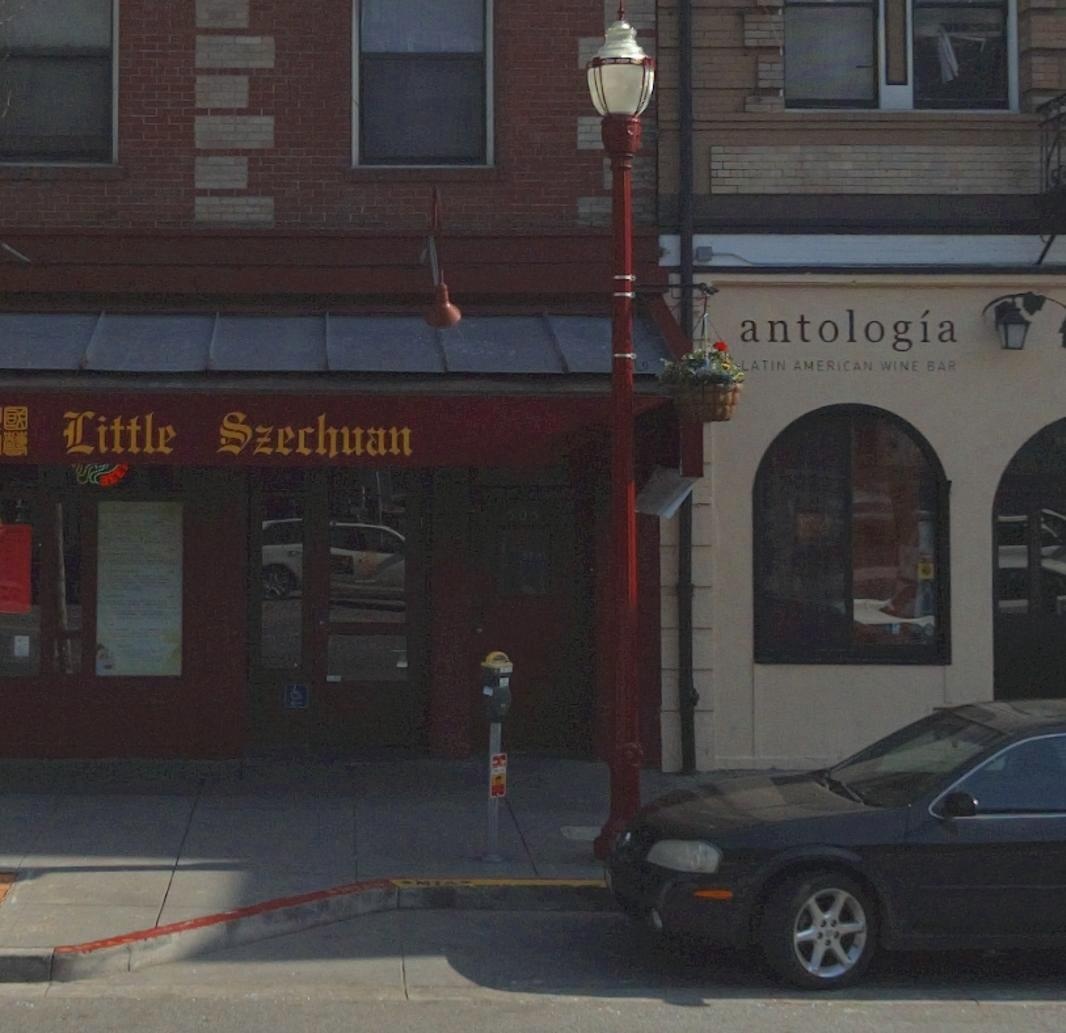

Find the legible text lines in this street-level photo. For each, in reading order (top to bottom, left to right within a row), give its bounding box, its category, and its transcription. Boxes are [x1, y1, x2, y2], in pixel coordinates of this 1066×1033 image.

[737, 308, 957, 353] BusinessName: antologia
[738, 356, 956, 373] None: LATIN AMERICAN WINE BAR
[61, 408, 412, 459] BusinessName: Little Szechuan
[505, 507, 541, 524] StreetNumber: 505